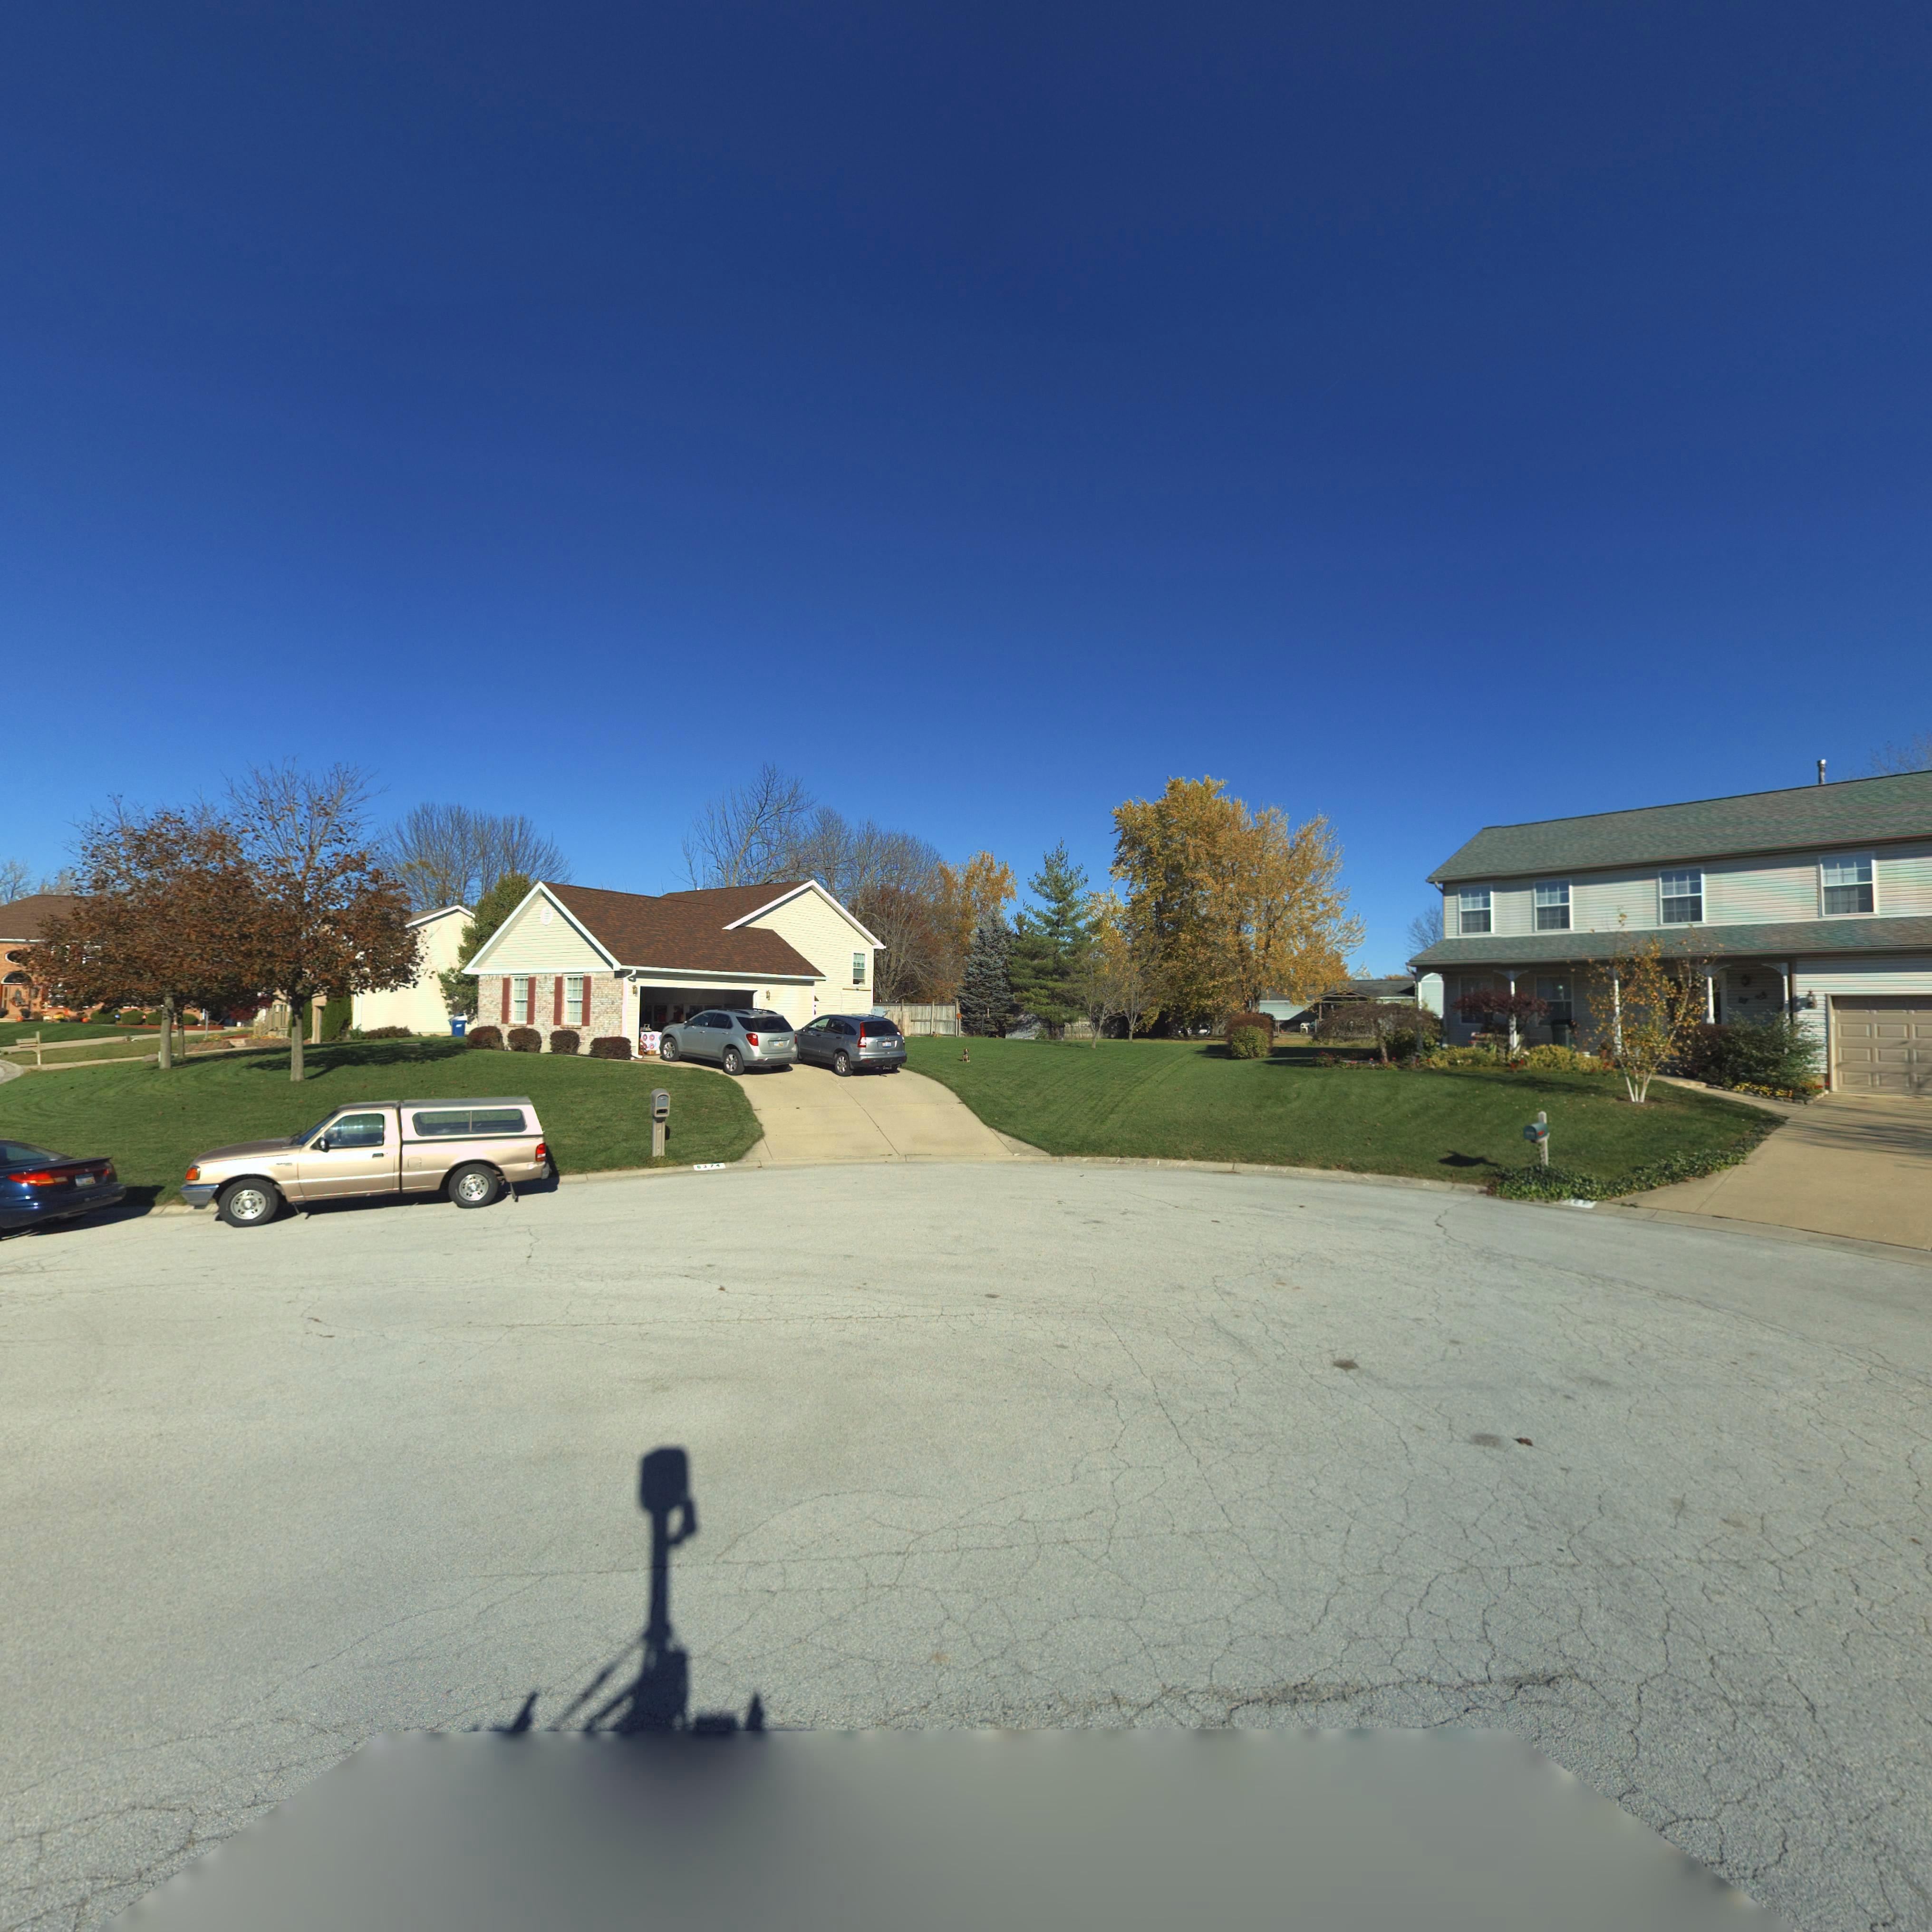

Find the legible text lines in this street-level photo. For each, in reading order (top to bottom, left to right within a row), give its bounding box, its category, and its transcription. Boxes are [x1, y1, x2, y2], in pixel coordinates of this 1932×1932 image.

[696, 1163, 720, 1169] StreetNumber: 6374
[1572, 1198, 1582, 1206] StreetNumber: 6